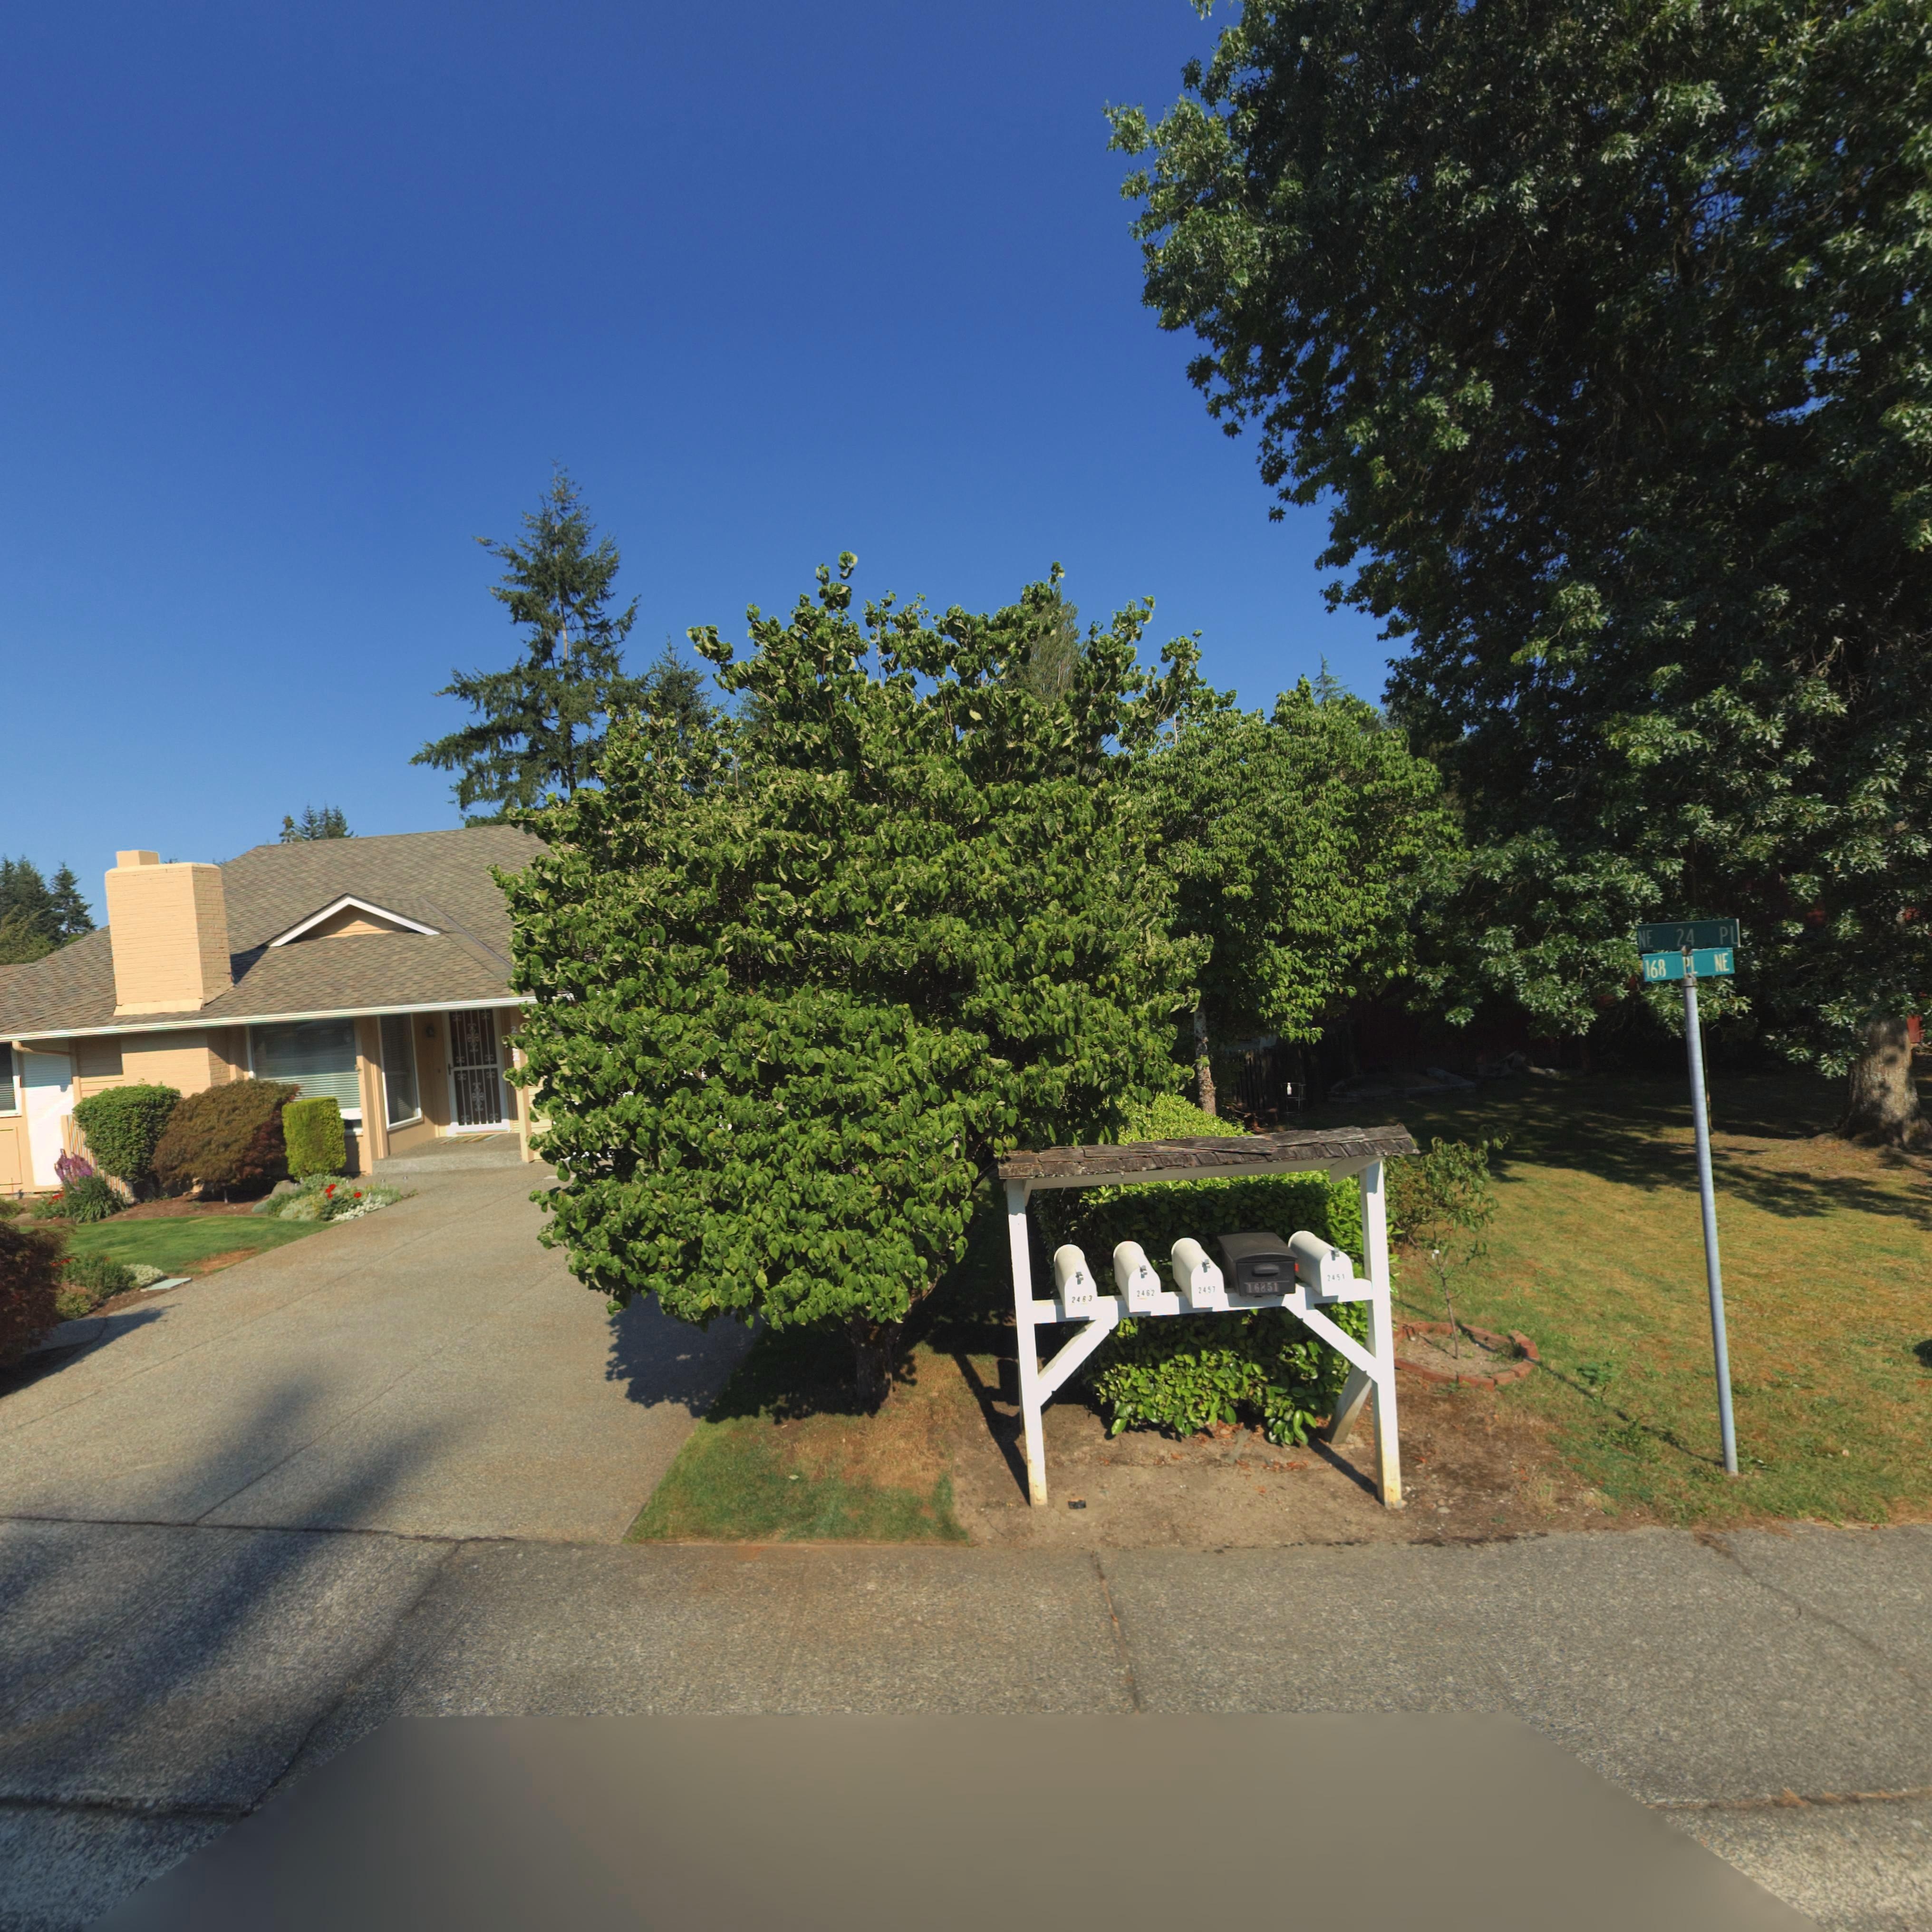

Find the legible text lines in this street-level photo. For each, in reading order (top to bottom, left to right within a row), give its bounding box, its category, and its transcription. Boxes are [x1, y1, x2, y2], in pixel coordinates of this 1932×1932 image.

[1637, 921, 1738, 951] StreetName: NE 24 PL
[1642, 949, 1732, 978] StreetName: 168 PL NE
[1326, 1273, 1346, 1281] StreetNumber: 2451
[1135, 1288, 1155, 1297] StreetNumber: 2462
[1197, 1285, 1217, 1293] StreetNumber: 16851
[1245, 1281, 1278, 1294] StreetNumber: 16851
[1071, 1294, 1092, 1304] StreetNumber: 2463